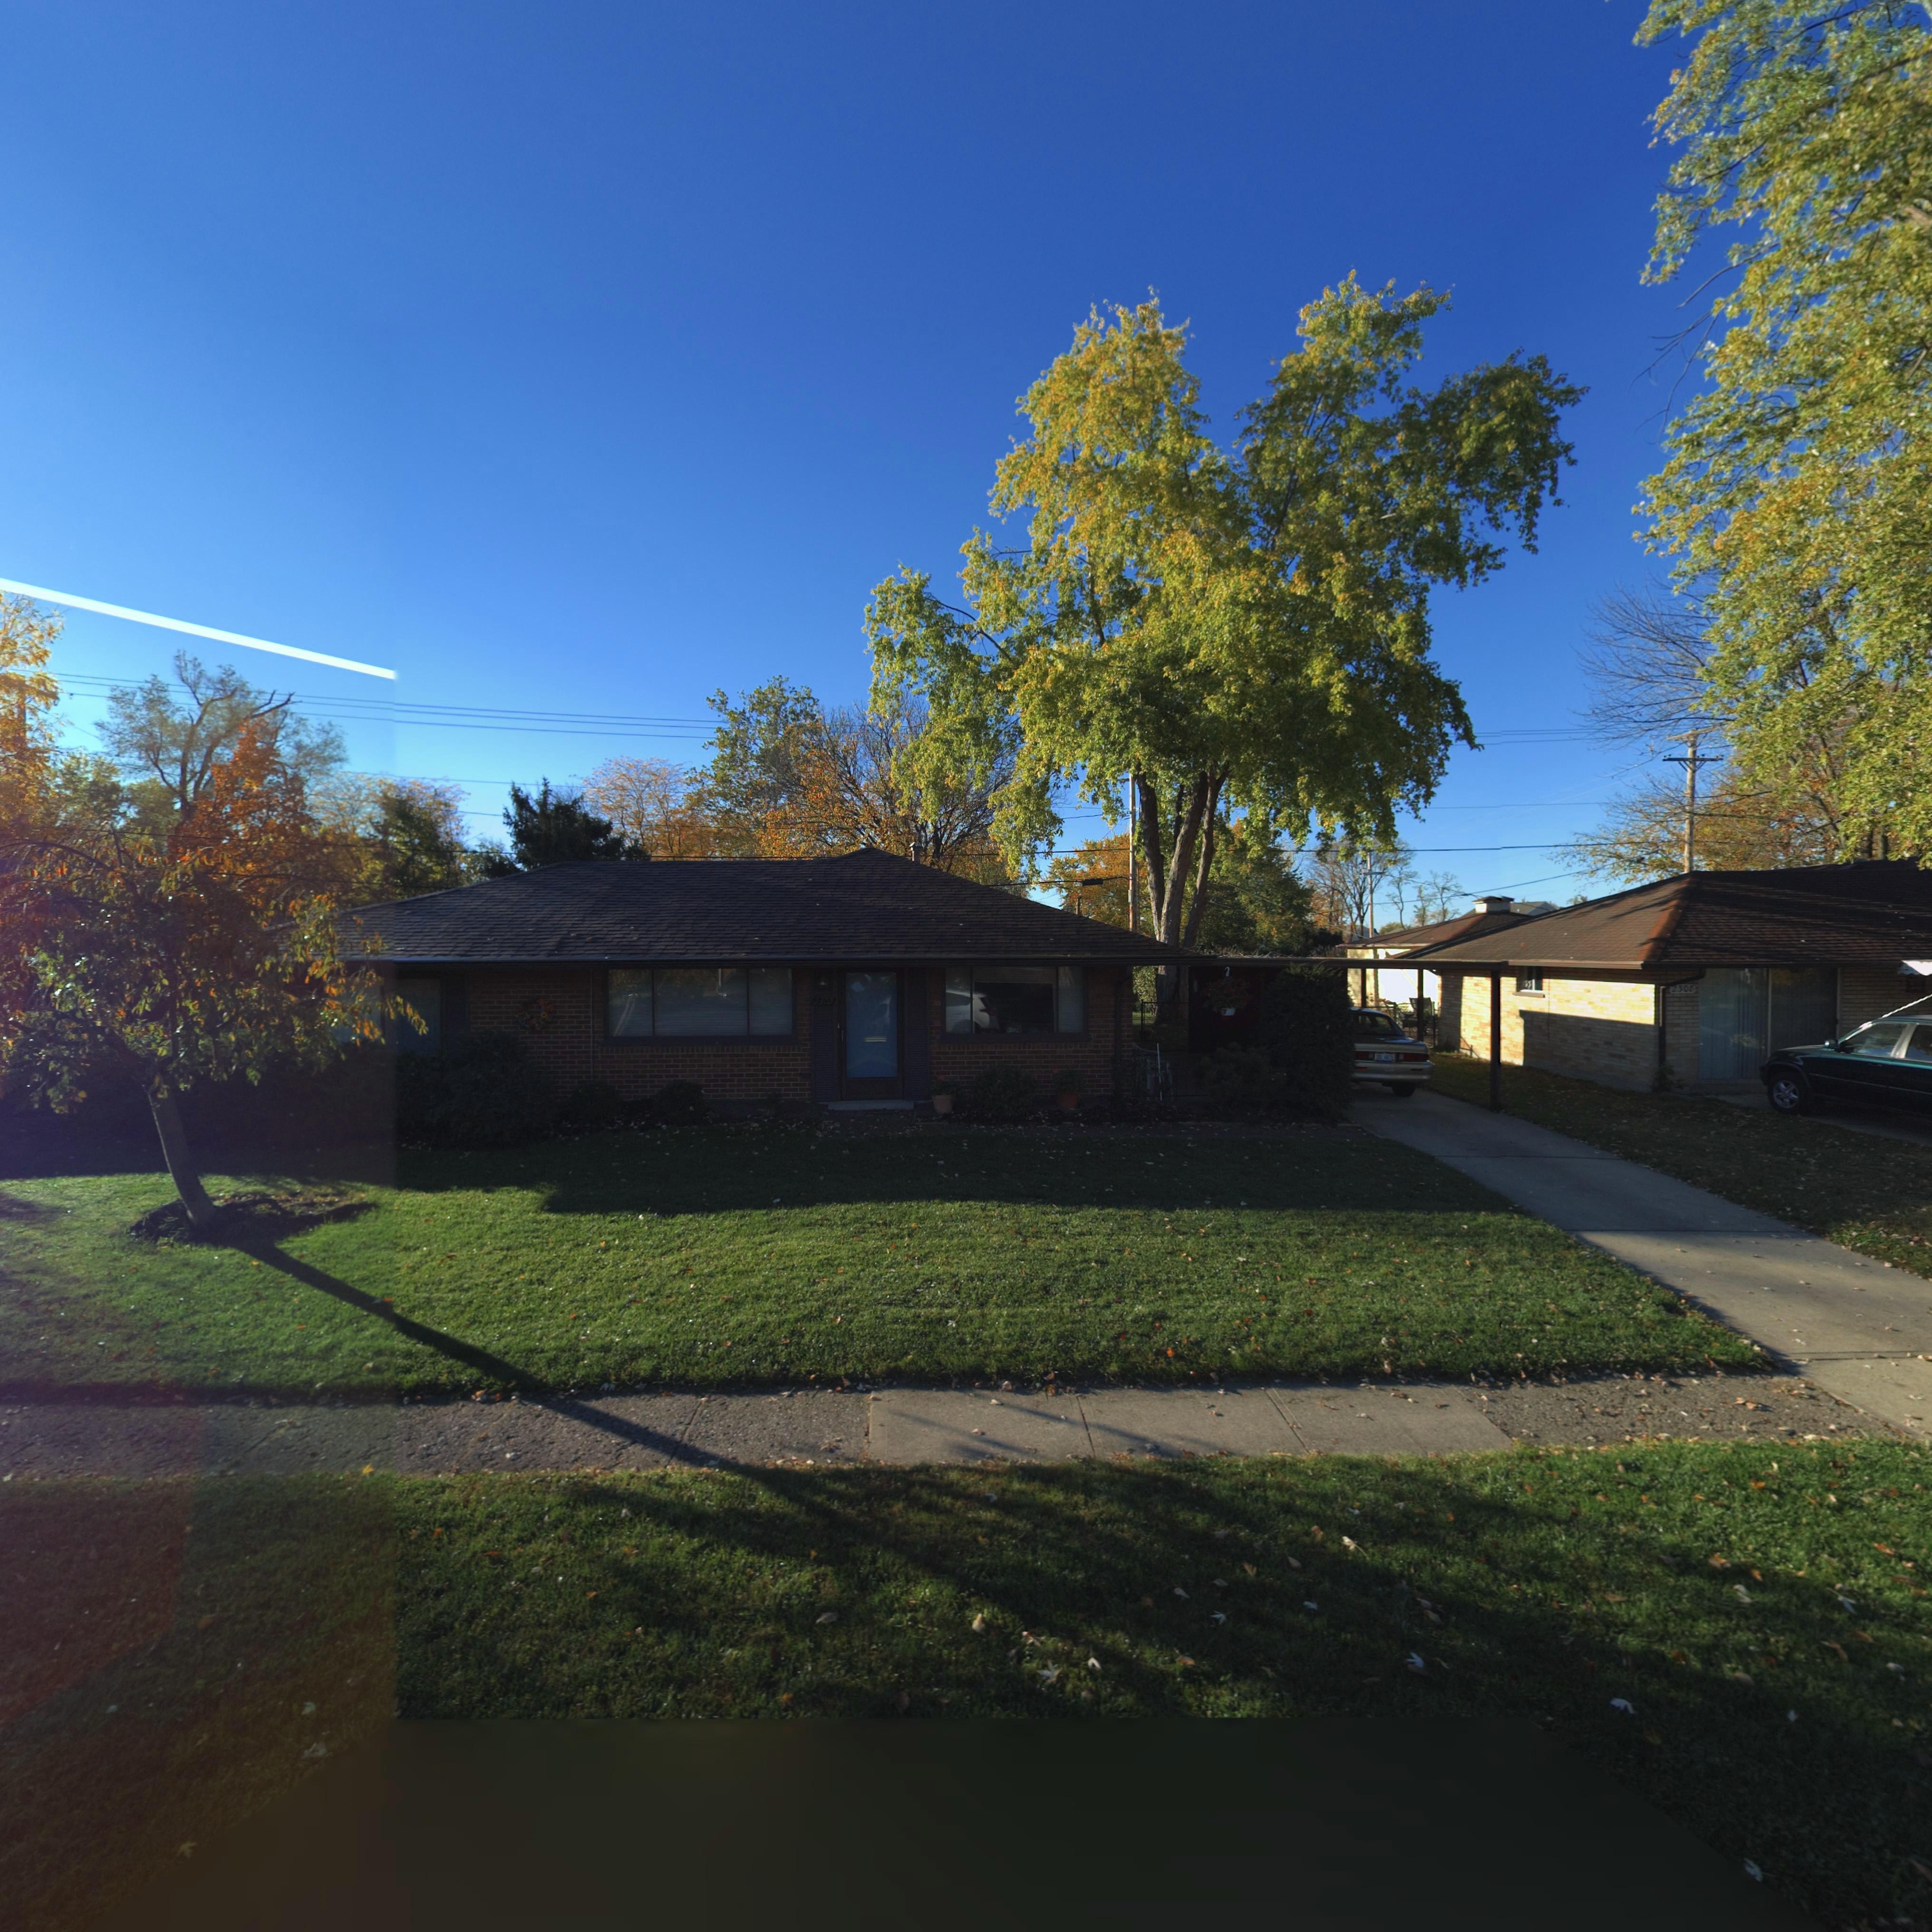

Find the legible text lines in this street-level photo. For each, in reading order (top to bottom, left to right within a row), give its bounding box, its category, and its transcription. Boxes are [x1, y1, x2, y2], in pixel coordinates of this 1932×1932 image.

[813, 996, 834, 1005] StreetNumber: *30*